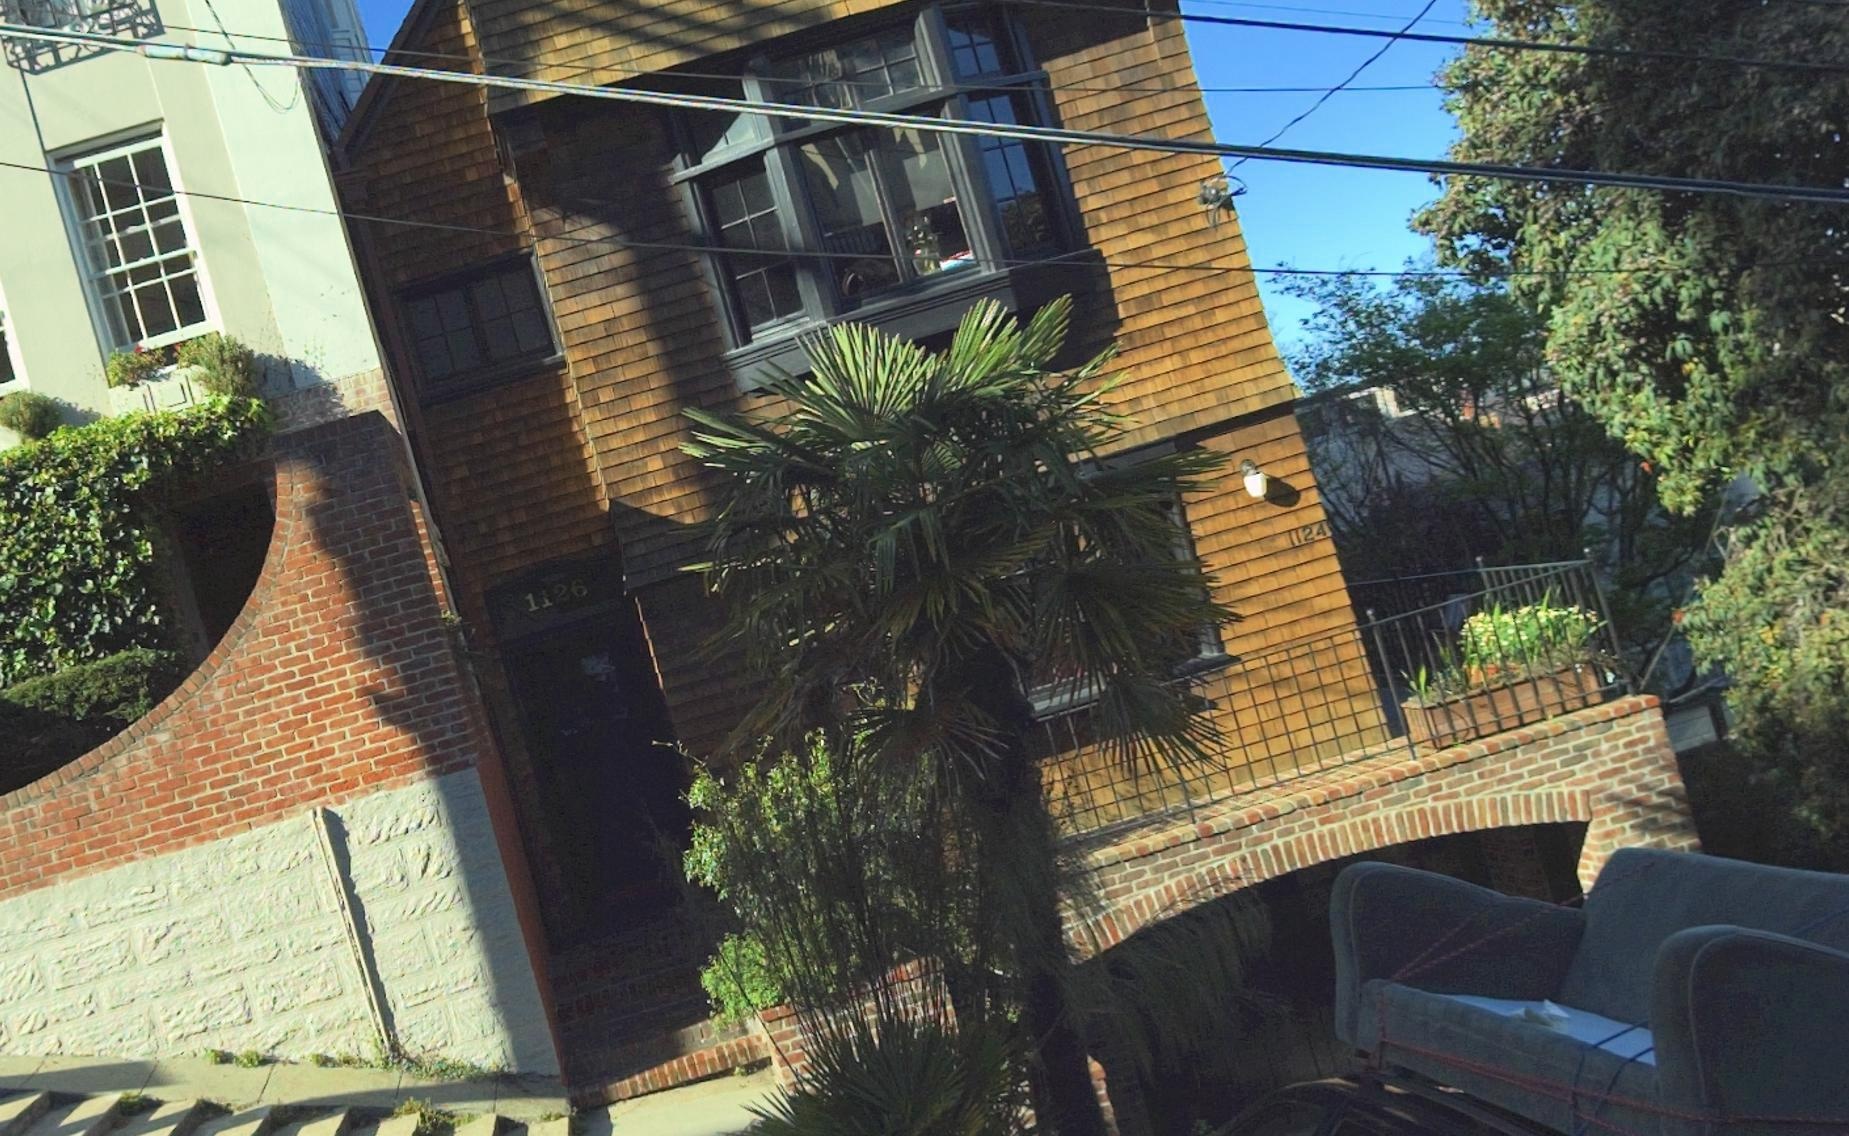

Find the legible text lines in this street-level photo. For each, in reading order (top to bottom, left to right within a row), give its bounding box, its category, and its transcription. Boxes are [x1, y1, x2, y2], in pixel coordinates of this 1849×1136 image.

[1285, 520, 1329, 549] StreetNumber: 1124
[522, 574, 591, 616] StreetNumber: 1126